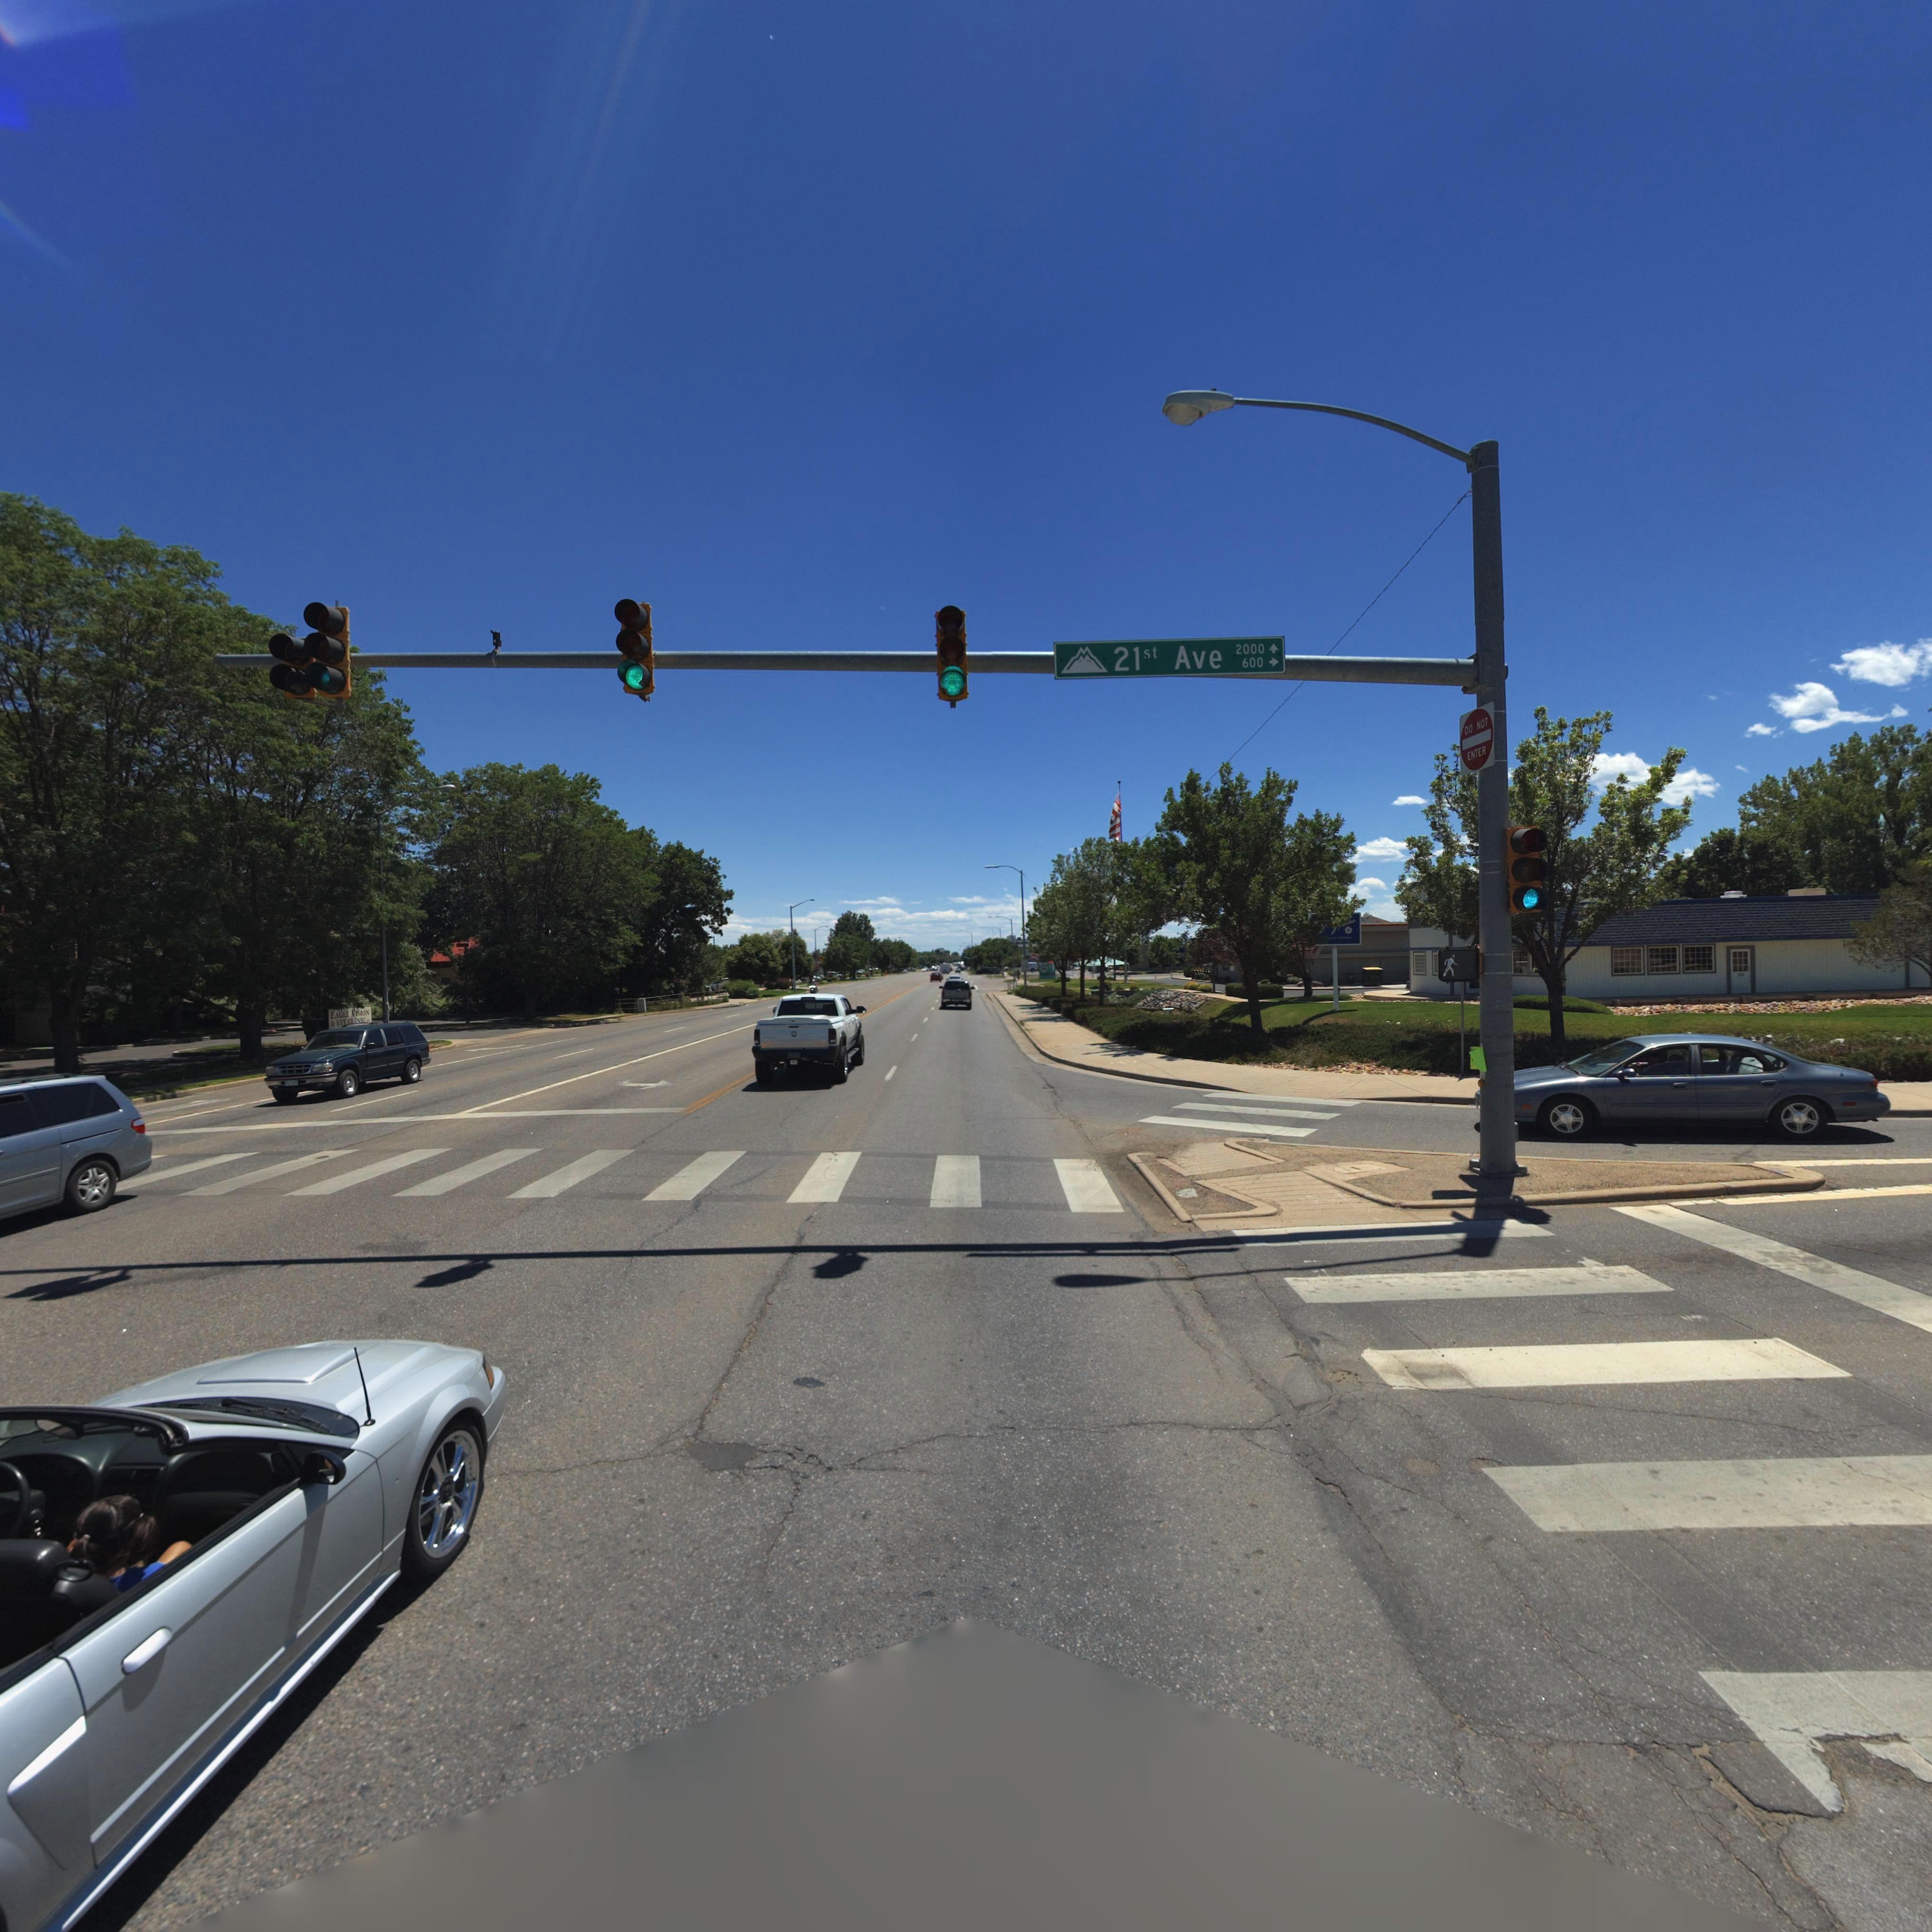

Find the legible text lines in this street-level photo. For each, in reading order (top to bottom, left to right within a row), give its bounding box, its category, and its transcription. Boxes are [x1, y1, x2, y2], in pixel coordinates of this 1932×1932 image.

[1235, 643, 1265, 655] StreetNumberRange: 2000
[1113, 644, 1222, 673] StreetName: 21st Ave
[1242, 657, 1279, 668] StreetNumberRange: 600 ->
[1341, 918, 1357, 927] BusinessName: S**a
[1031, 956, 1038, 959] BusinessName: DQ
[330, 1009, 369, 1018] BusinessName: EAGLE VISION
[330, 1016, 366, 1027] BusinessName: & EYE CLINIC